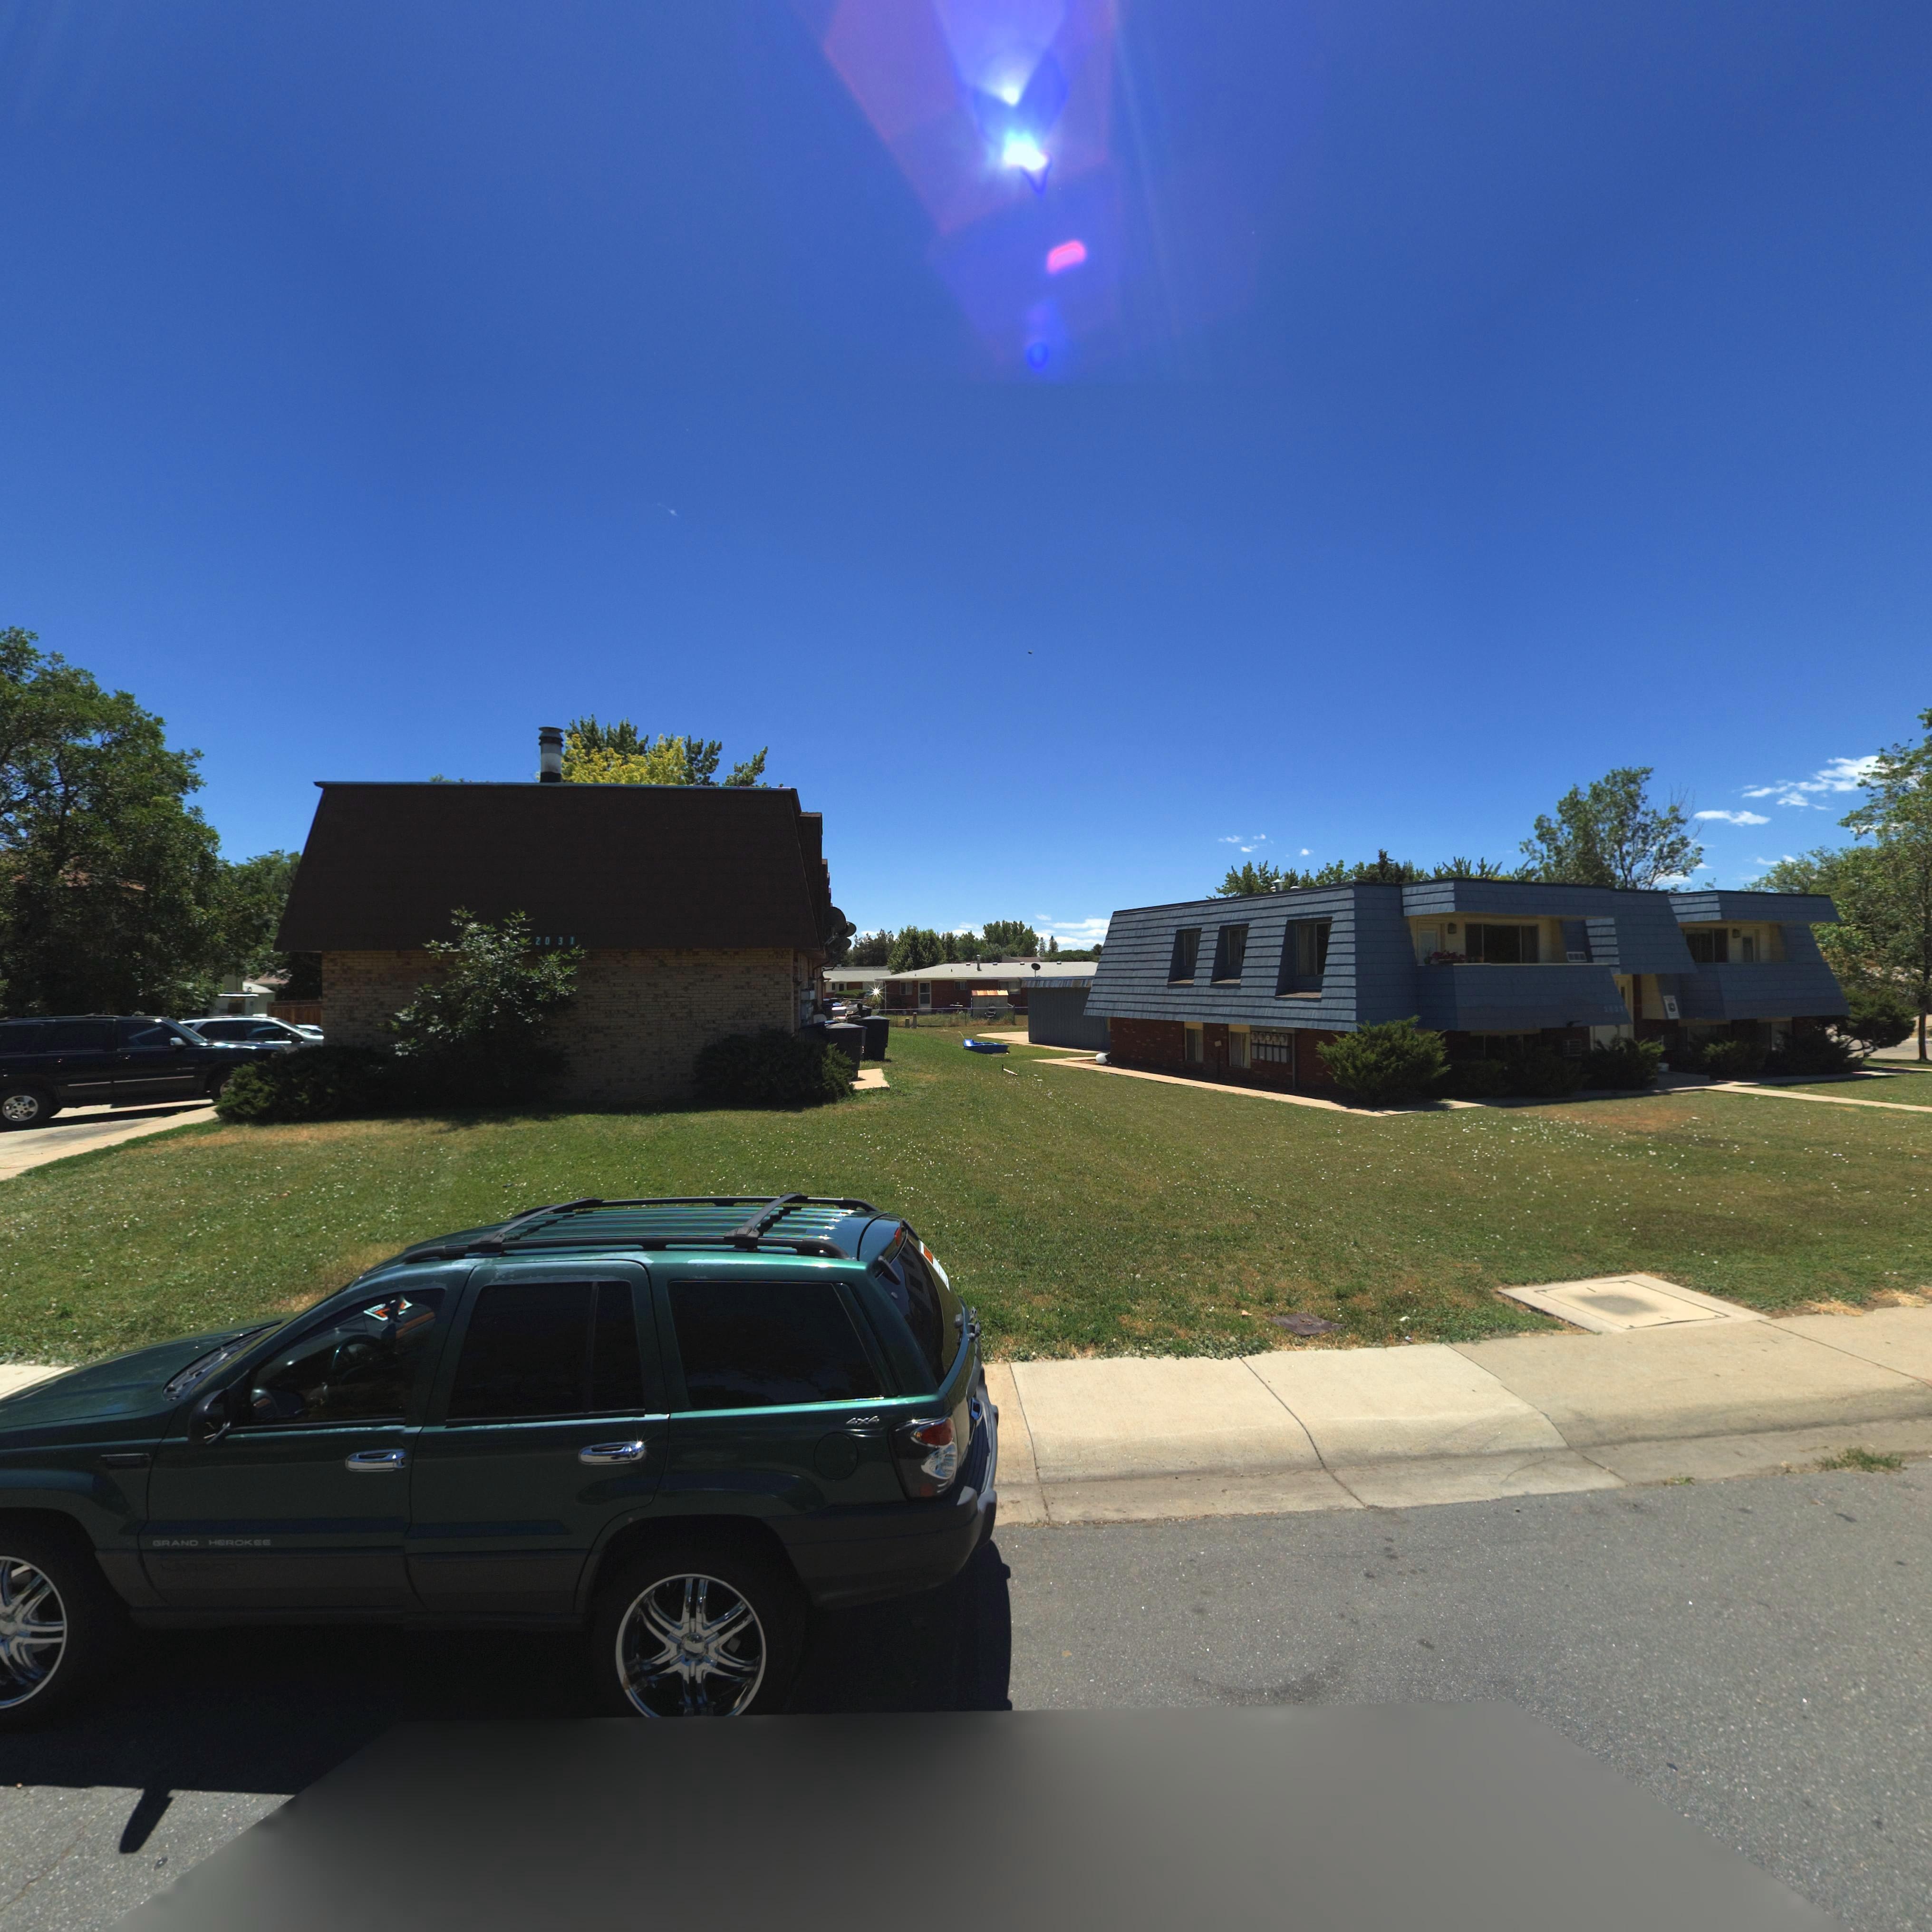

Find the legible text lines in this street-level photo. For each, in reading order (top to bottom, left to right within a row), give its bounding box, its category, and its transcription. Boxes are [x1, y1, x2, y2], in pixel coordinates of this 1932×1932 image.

[535, 936, 574, 946] StreetNumber: 2031
[1604, 1005, 1623, 1013] StreetNumber: 2027